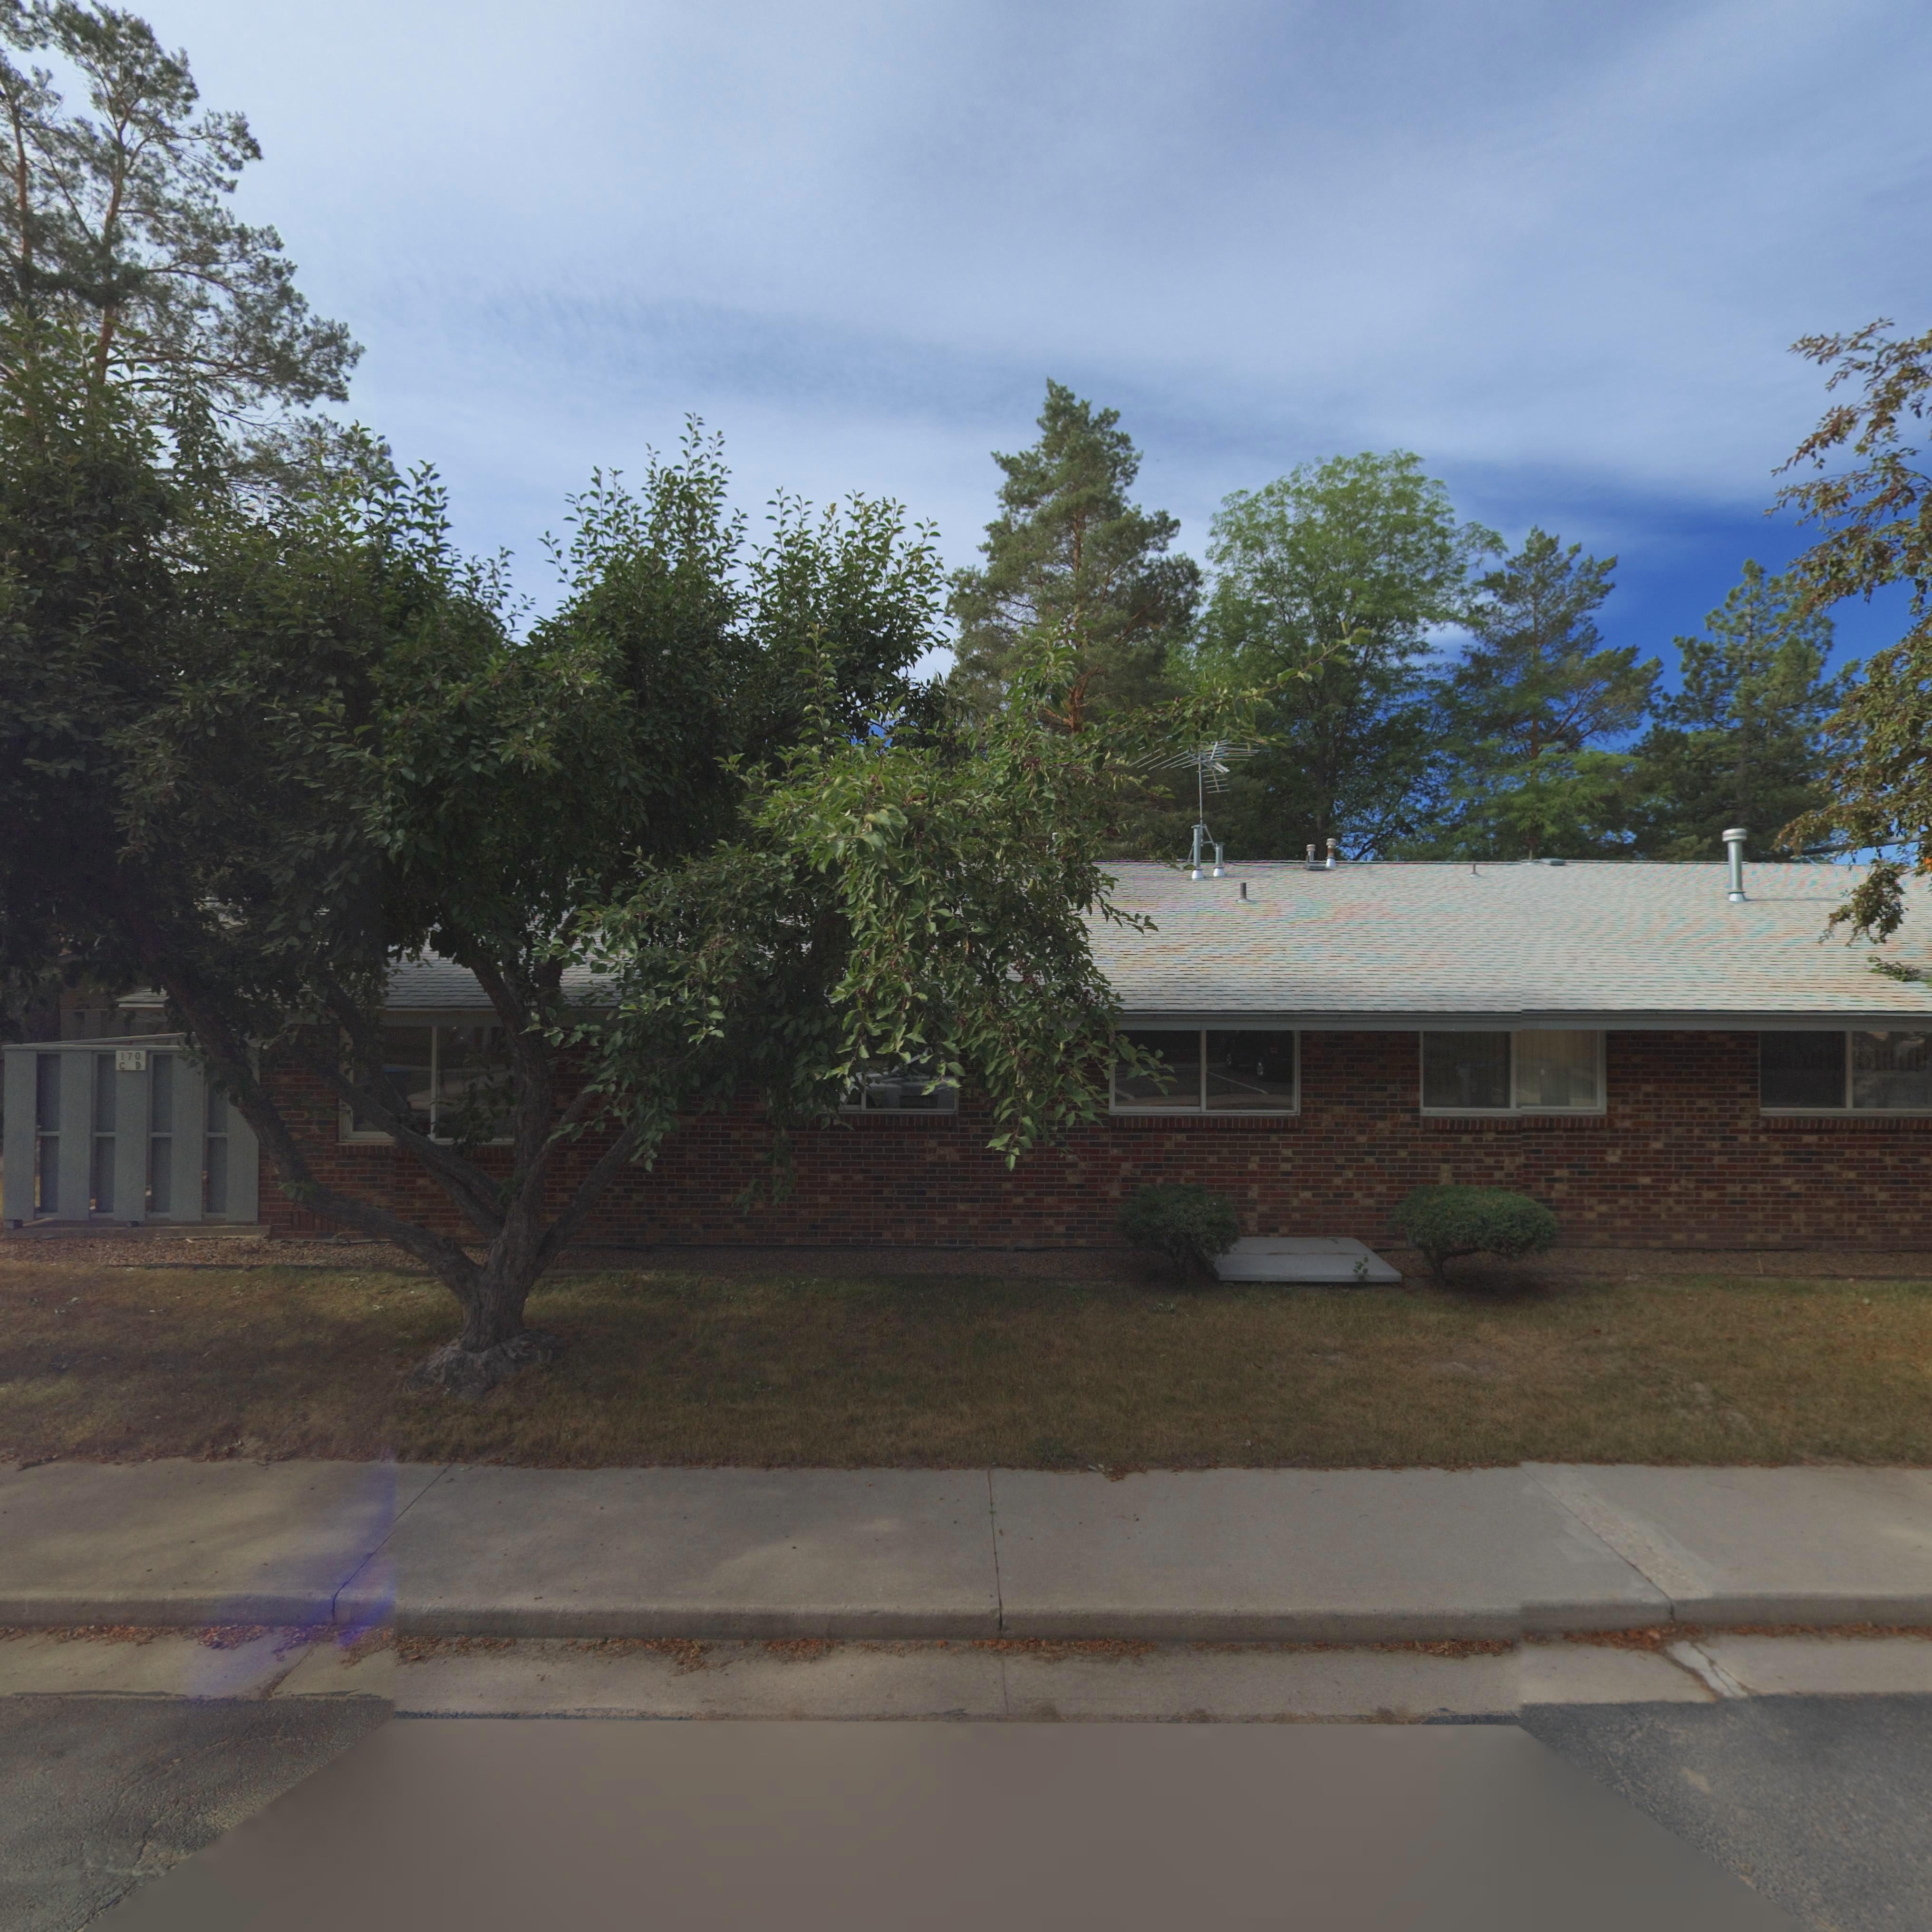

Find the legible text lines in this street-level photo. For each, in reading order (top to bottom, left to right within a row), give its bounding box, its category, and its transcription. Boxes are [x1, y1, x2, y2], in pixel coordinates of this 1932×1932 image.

[120, 1052, 140, 1060] StreetNumber: 170
[118, 1060, 142, 1071] BusinessName: C D